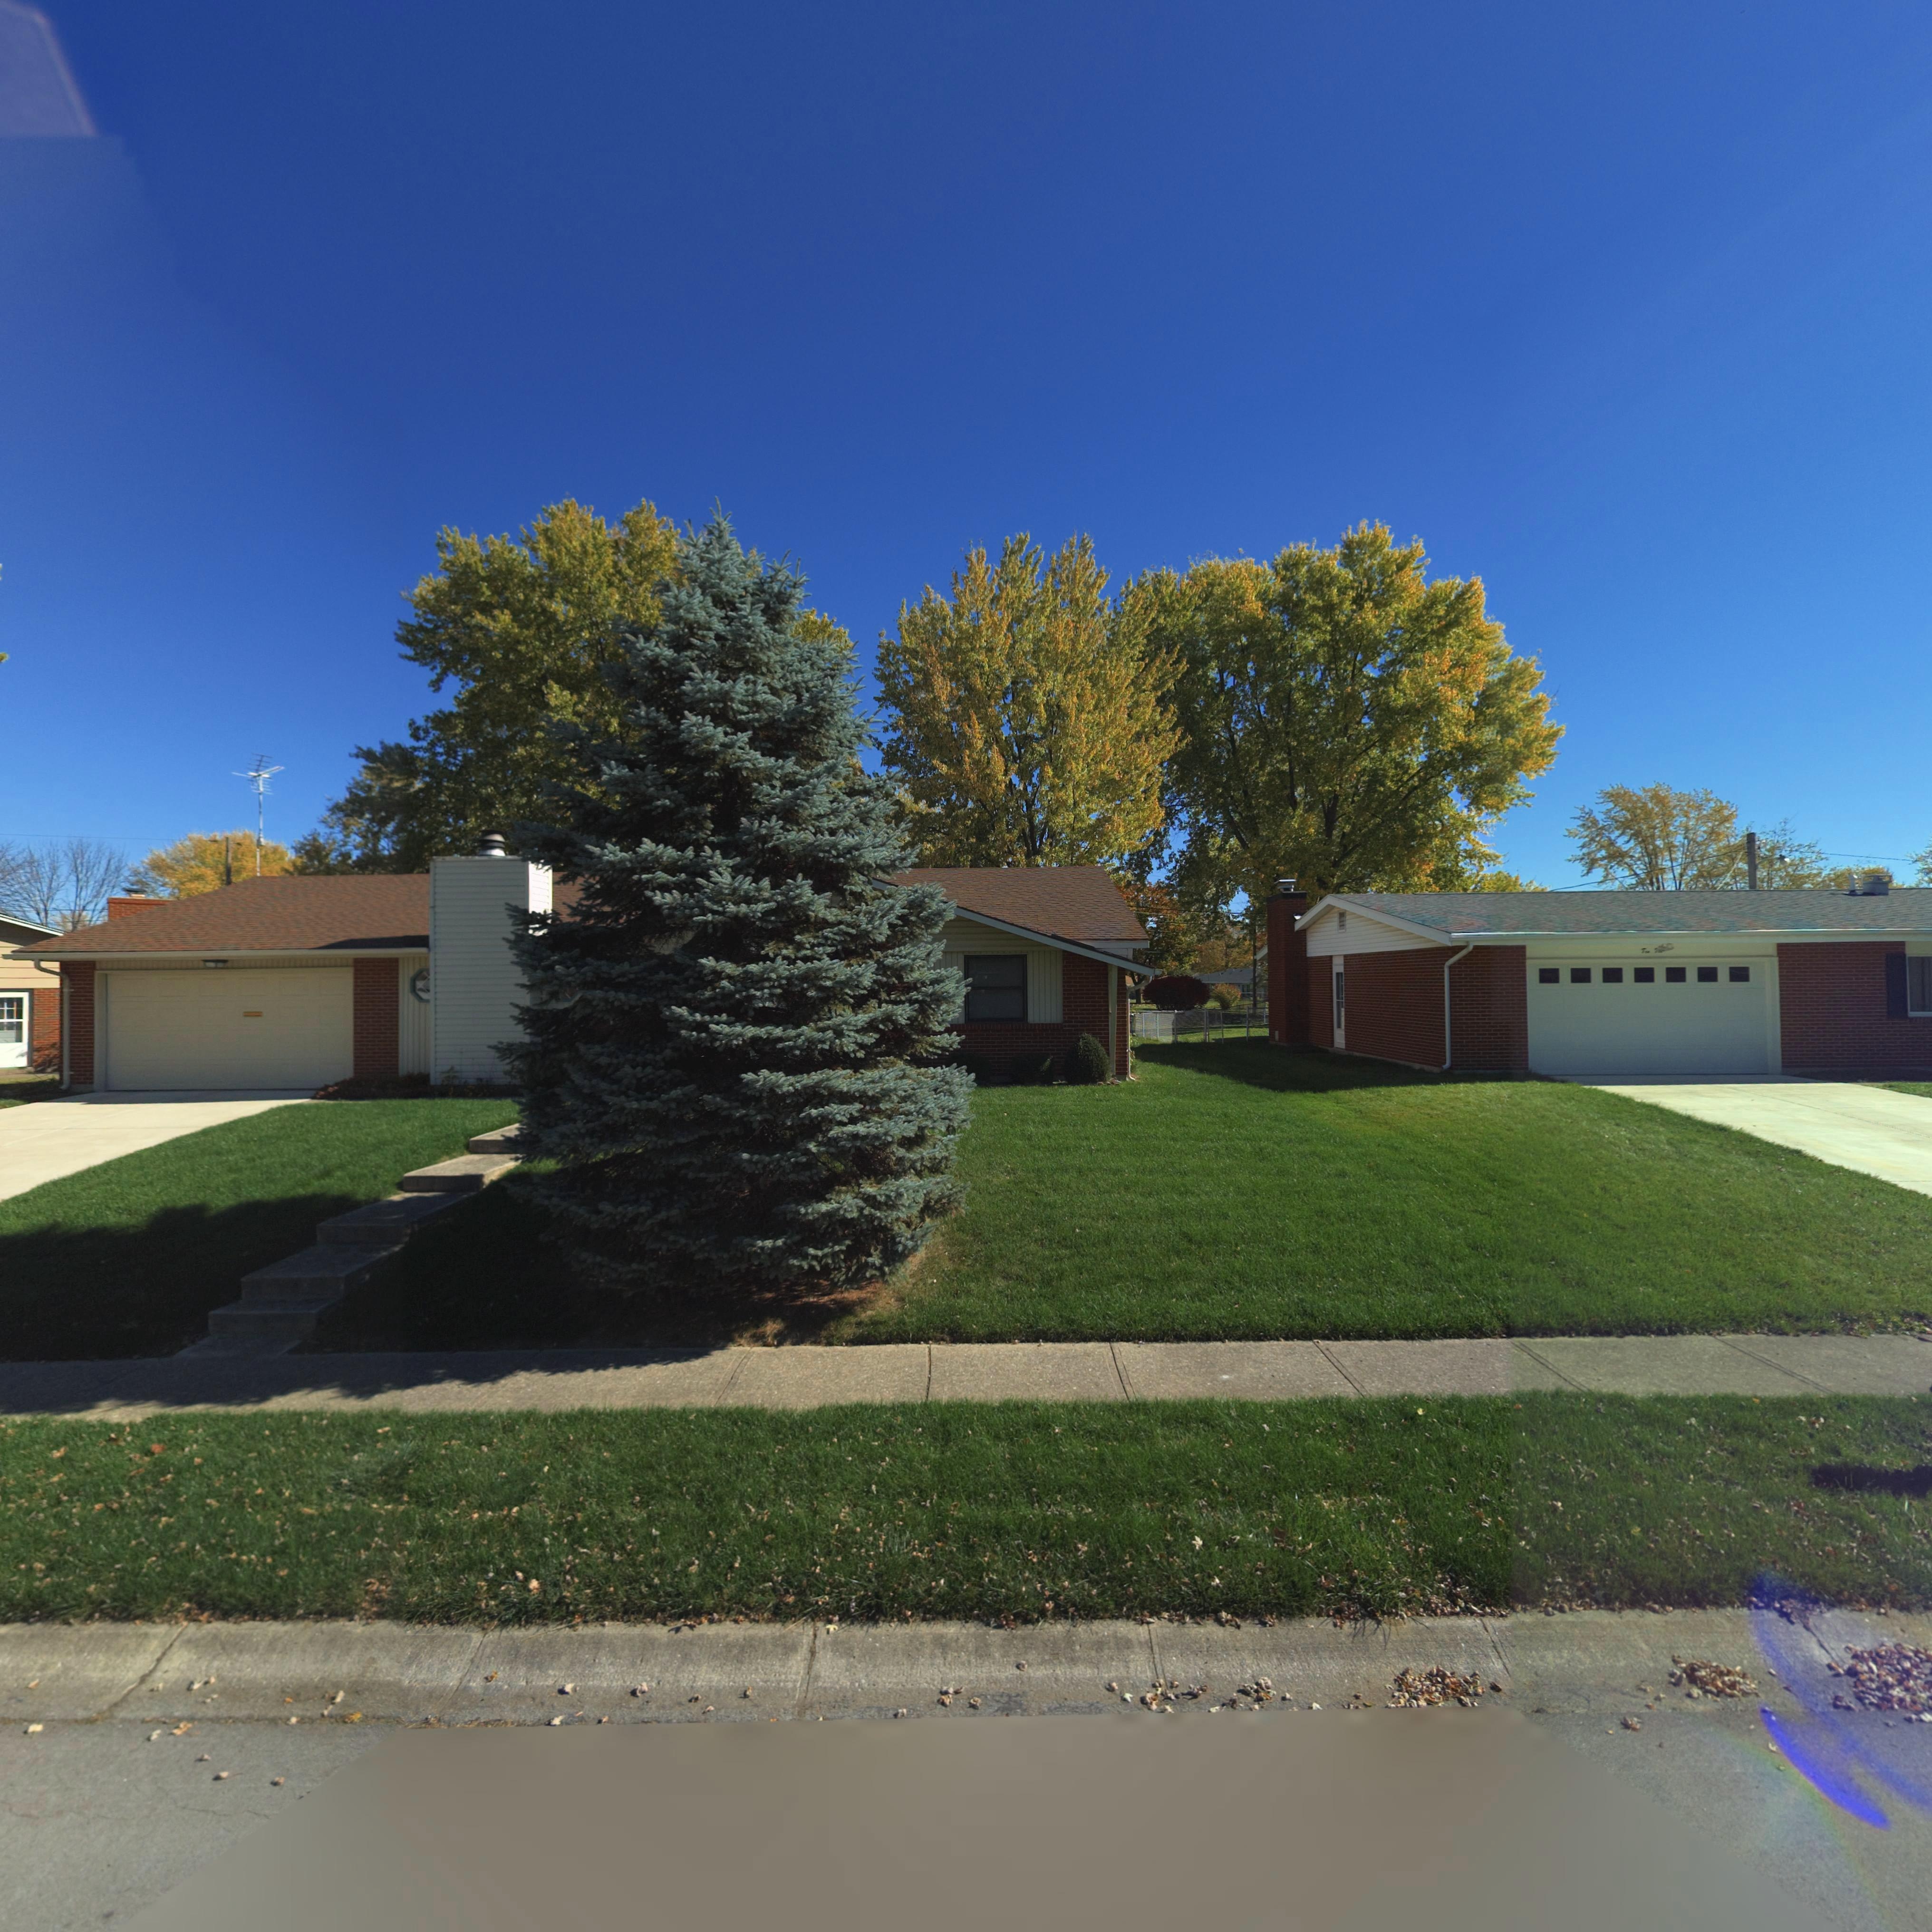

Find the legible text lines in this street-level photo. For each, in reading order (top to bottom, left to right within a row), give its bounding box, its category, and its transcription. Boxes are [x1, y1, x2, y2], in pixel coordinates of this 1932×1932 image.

[1641, 947, 1651, 954] StreetNumber: Ten